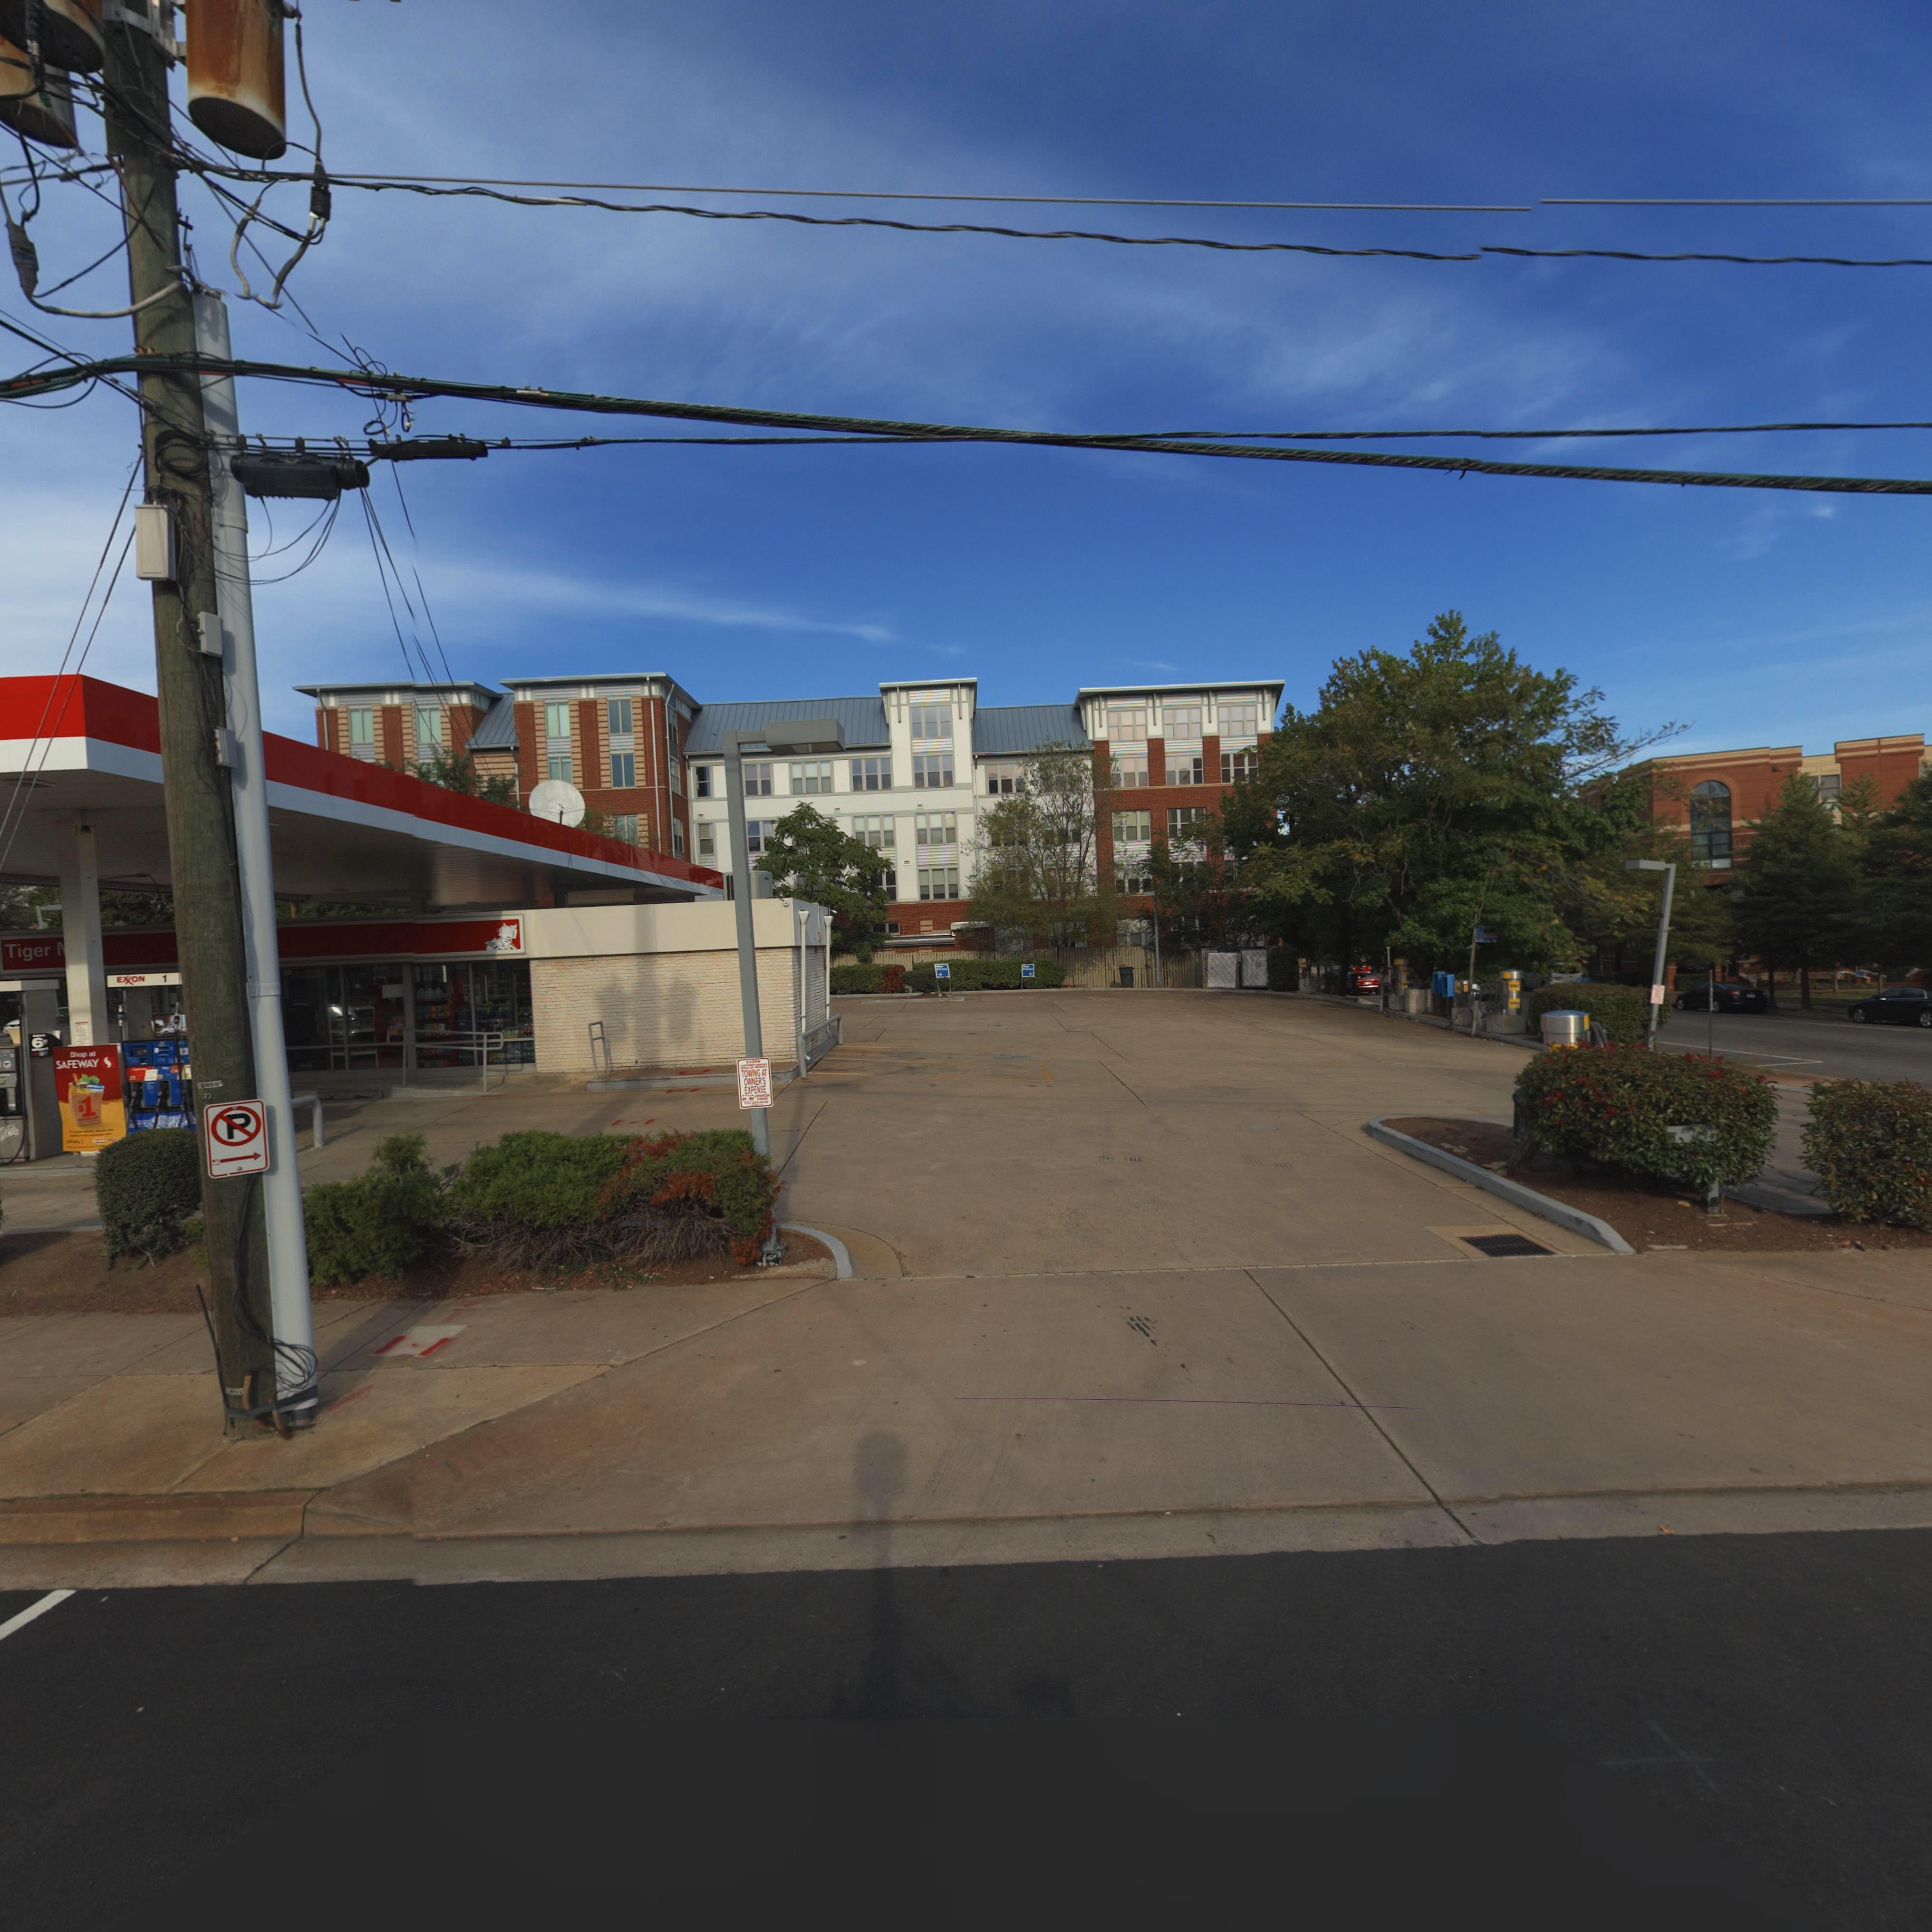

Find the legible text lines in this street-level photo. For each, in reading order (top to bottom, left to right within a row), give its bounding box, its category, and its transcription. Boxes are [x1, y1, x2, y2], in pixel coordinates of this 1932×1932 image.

[3, 943, 51, 962] None: Tiger
[116, 975, 145, 985] None: E*ON
[162, 974, 167, 983] None: 1
[31, 1037, 44, 1048] None: 6
[68, 1051, 97, 1058] None: Shop at
[55, 1058, 101, 1070] None: SAFEWAY
[741, 1068, 767, 1078] None: TOWING AT
[209, 1082, 220, 1088] None: 50
[743, 1077, 766, 1086] None: OWNER'S
[744, 1085, 767, 1095] None: EXPENSE
[201, 1092, 214, 1101] None: 37
[81, 1095, 97, 1118] None: 1